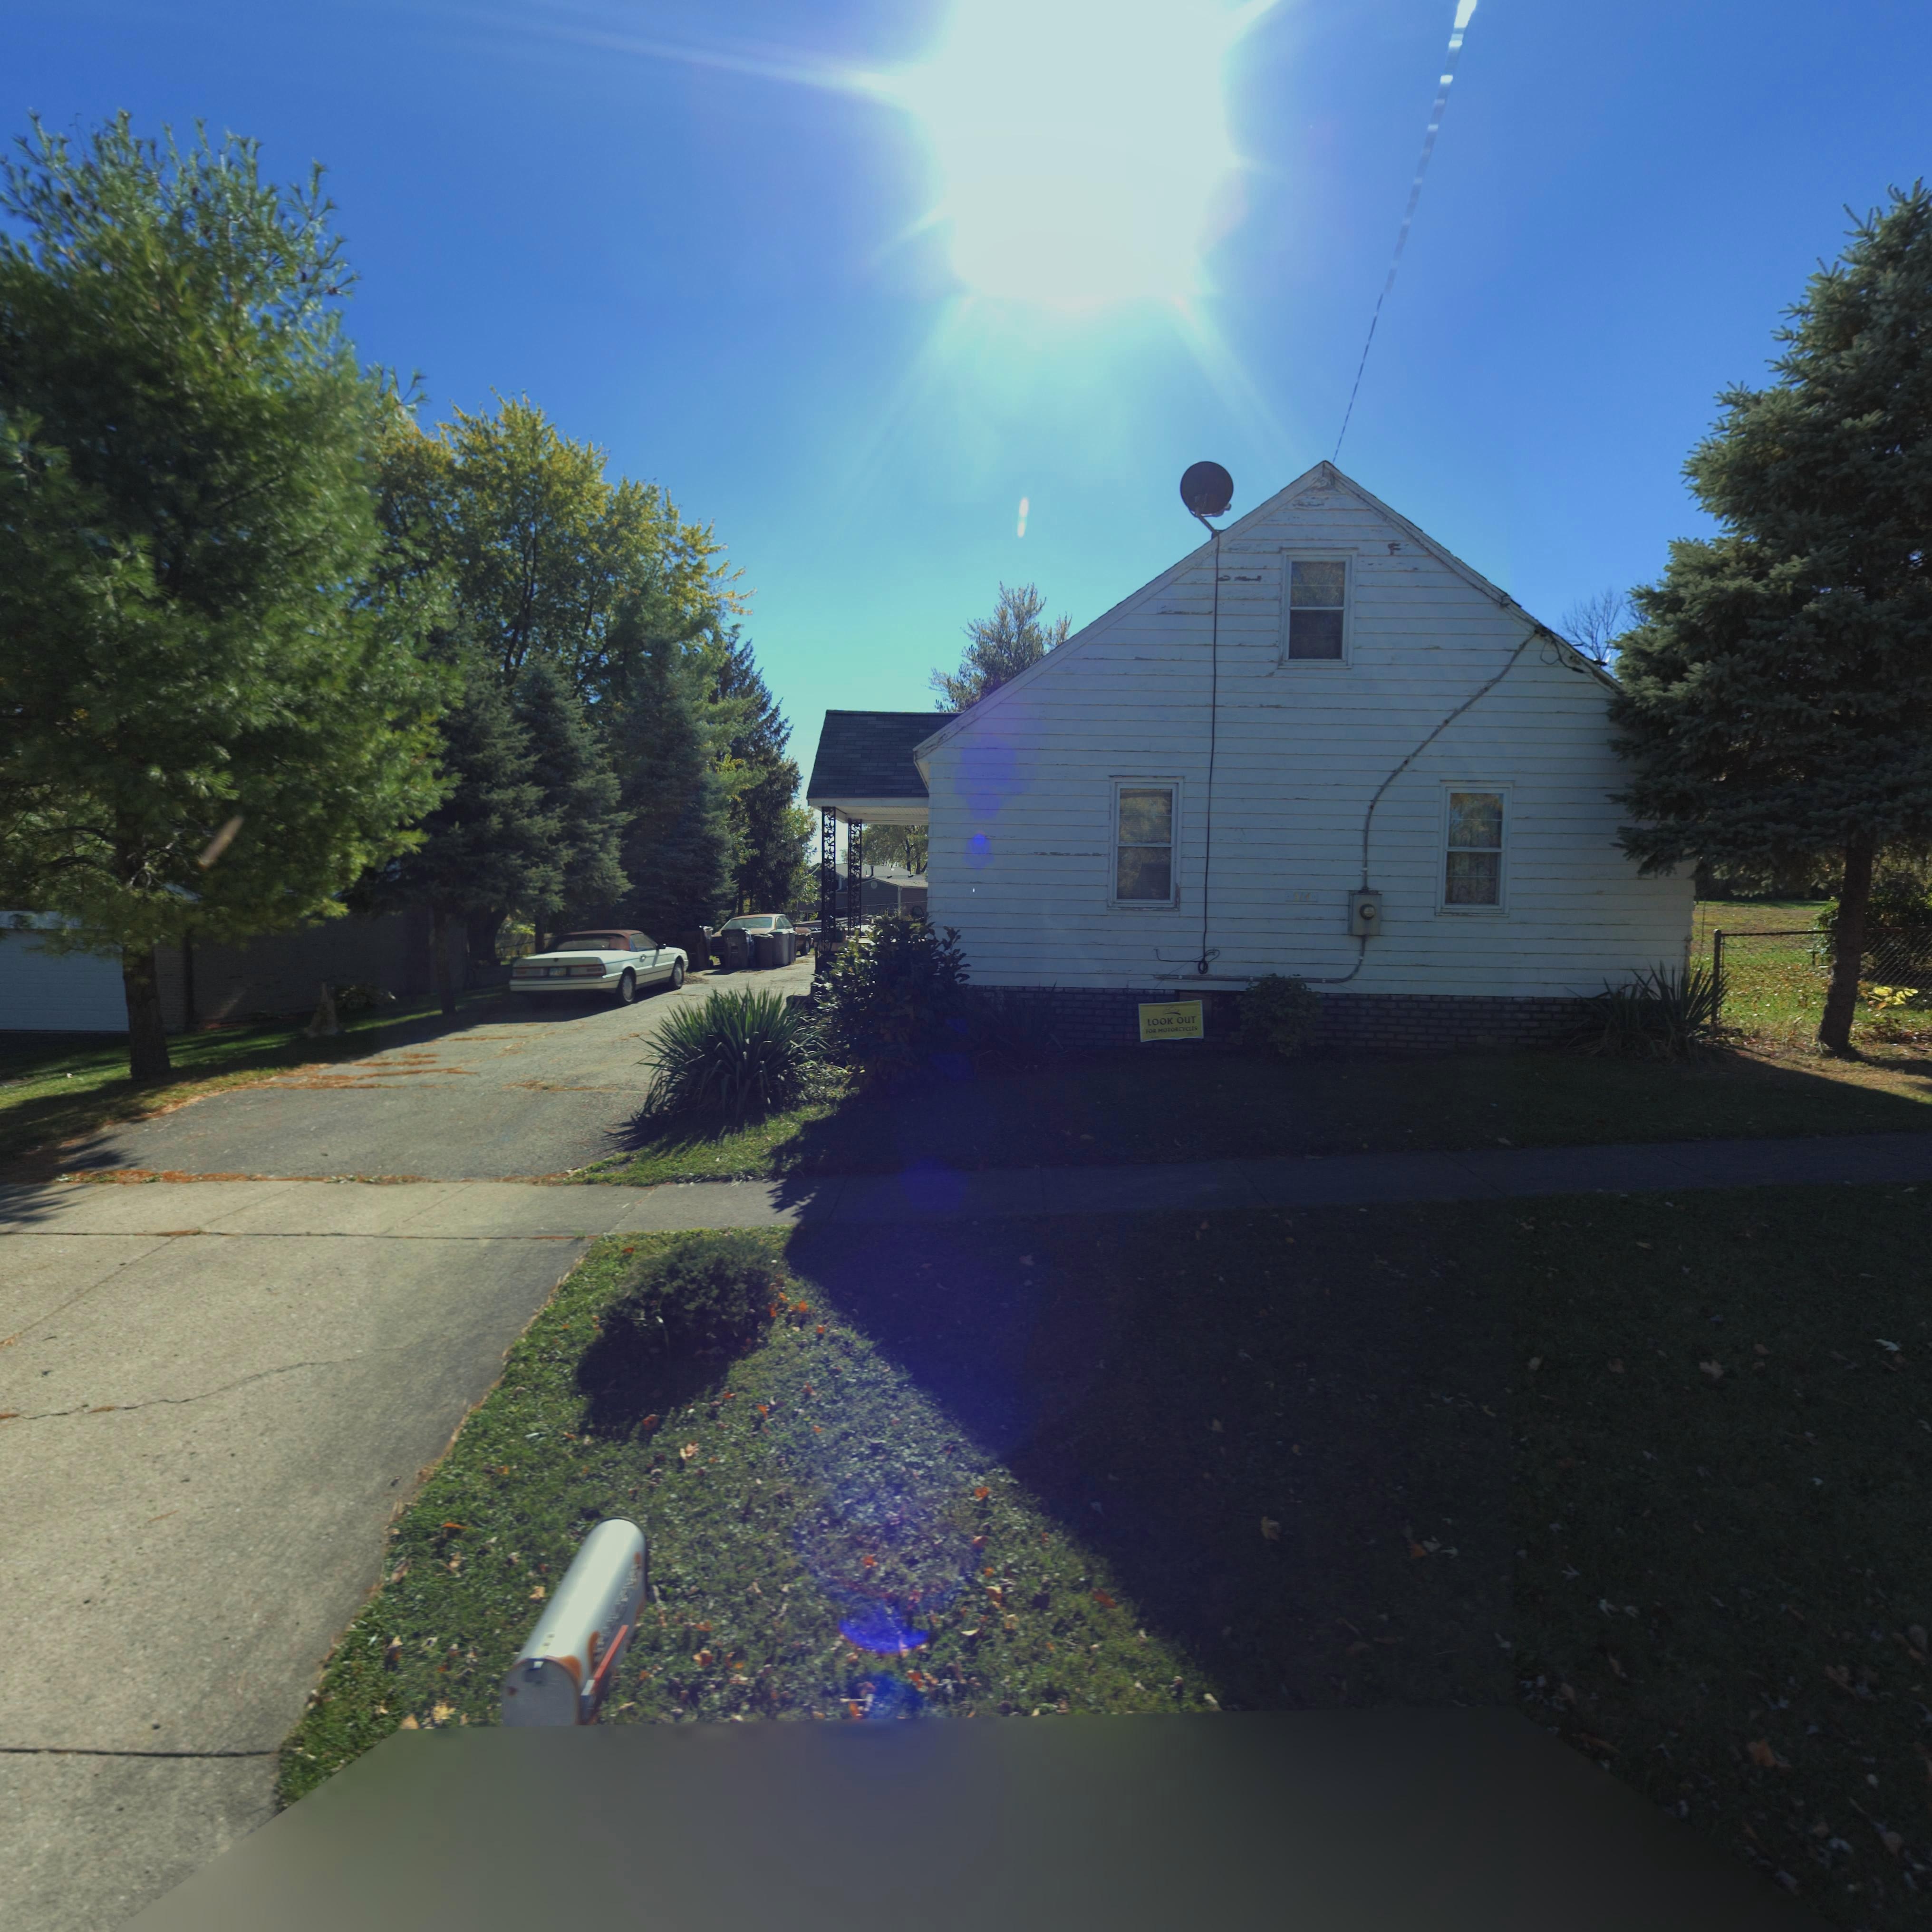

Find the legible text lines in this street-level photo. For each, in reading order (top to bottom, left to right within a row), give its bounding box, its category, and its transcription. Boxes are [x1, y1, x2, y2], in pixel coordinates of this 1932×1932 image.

[1292, 891, 1311, 902] StreetNumber: 51*